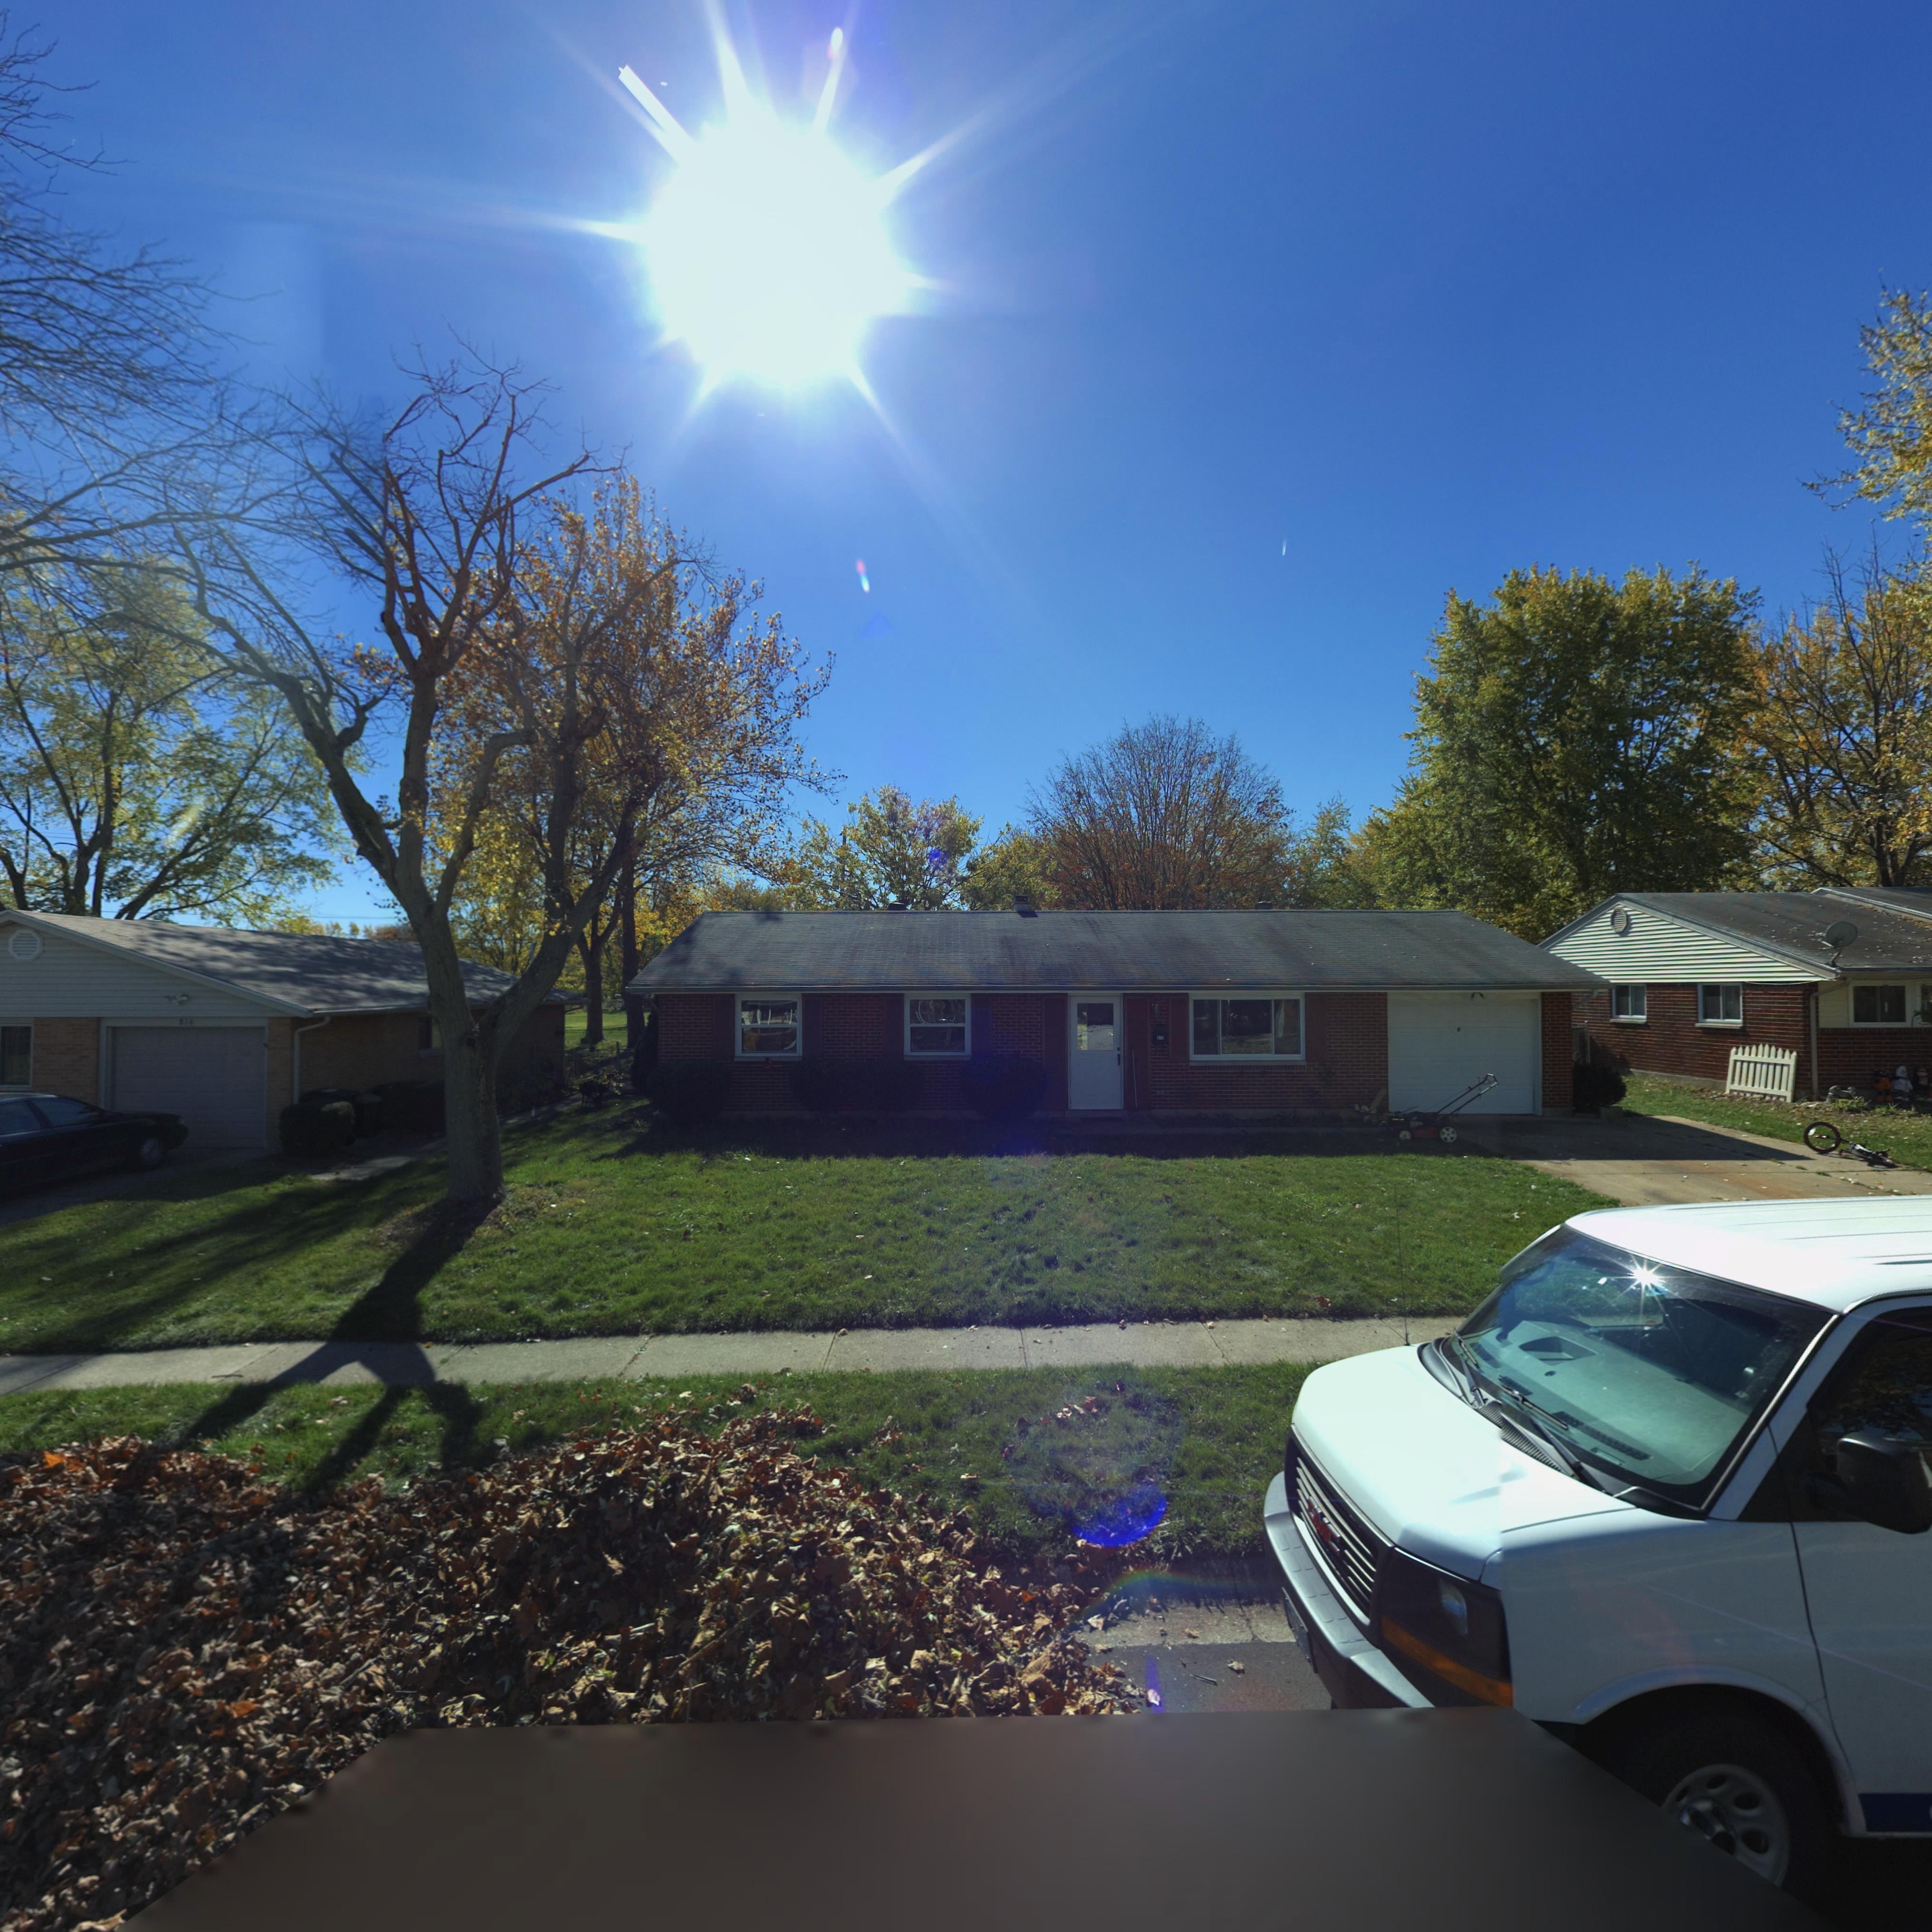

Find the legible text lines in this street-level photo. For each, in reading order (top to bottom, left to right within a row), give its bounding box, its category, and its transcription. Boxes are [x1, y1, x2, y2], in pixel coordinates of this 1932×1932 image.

[178, 1017, 193, 1025] StreetNumber: 816
[1157, 1035, 1164, 1040] StreetNumber: *1*